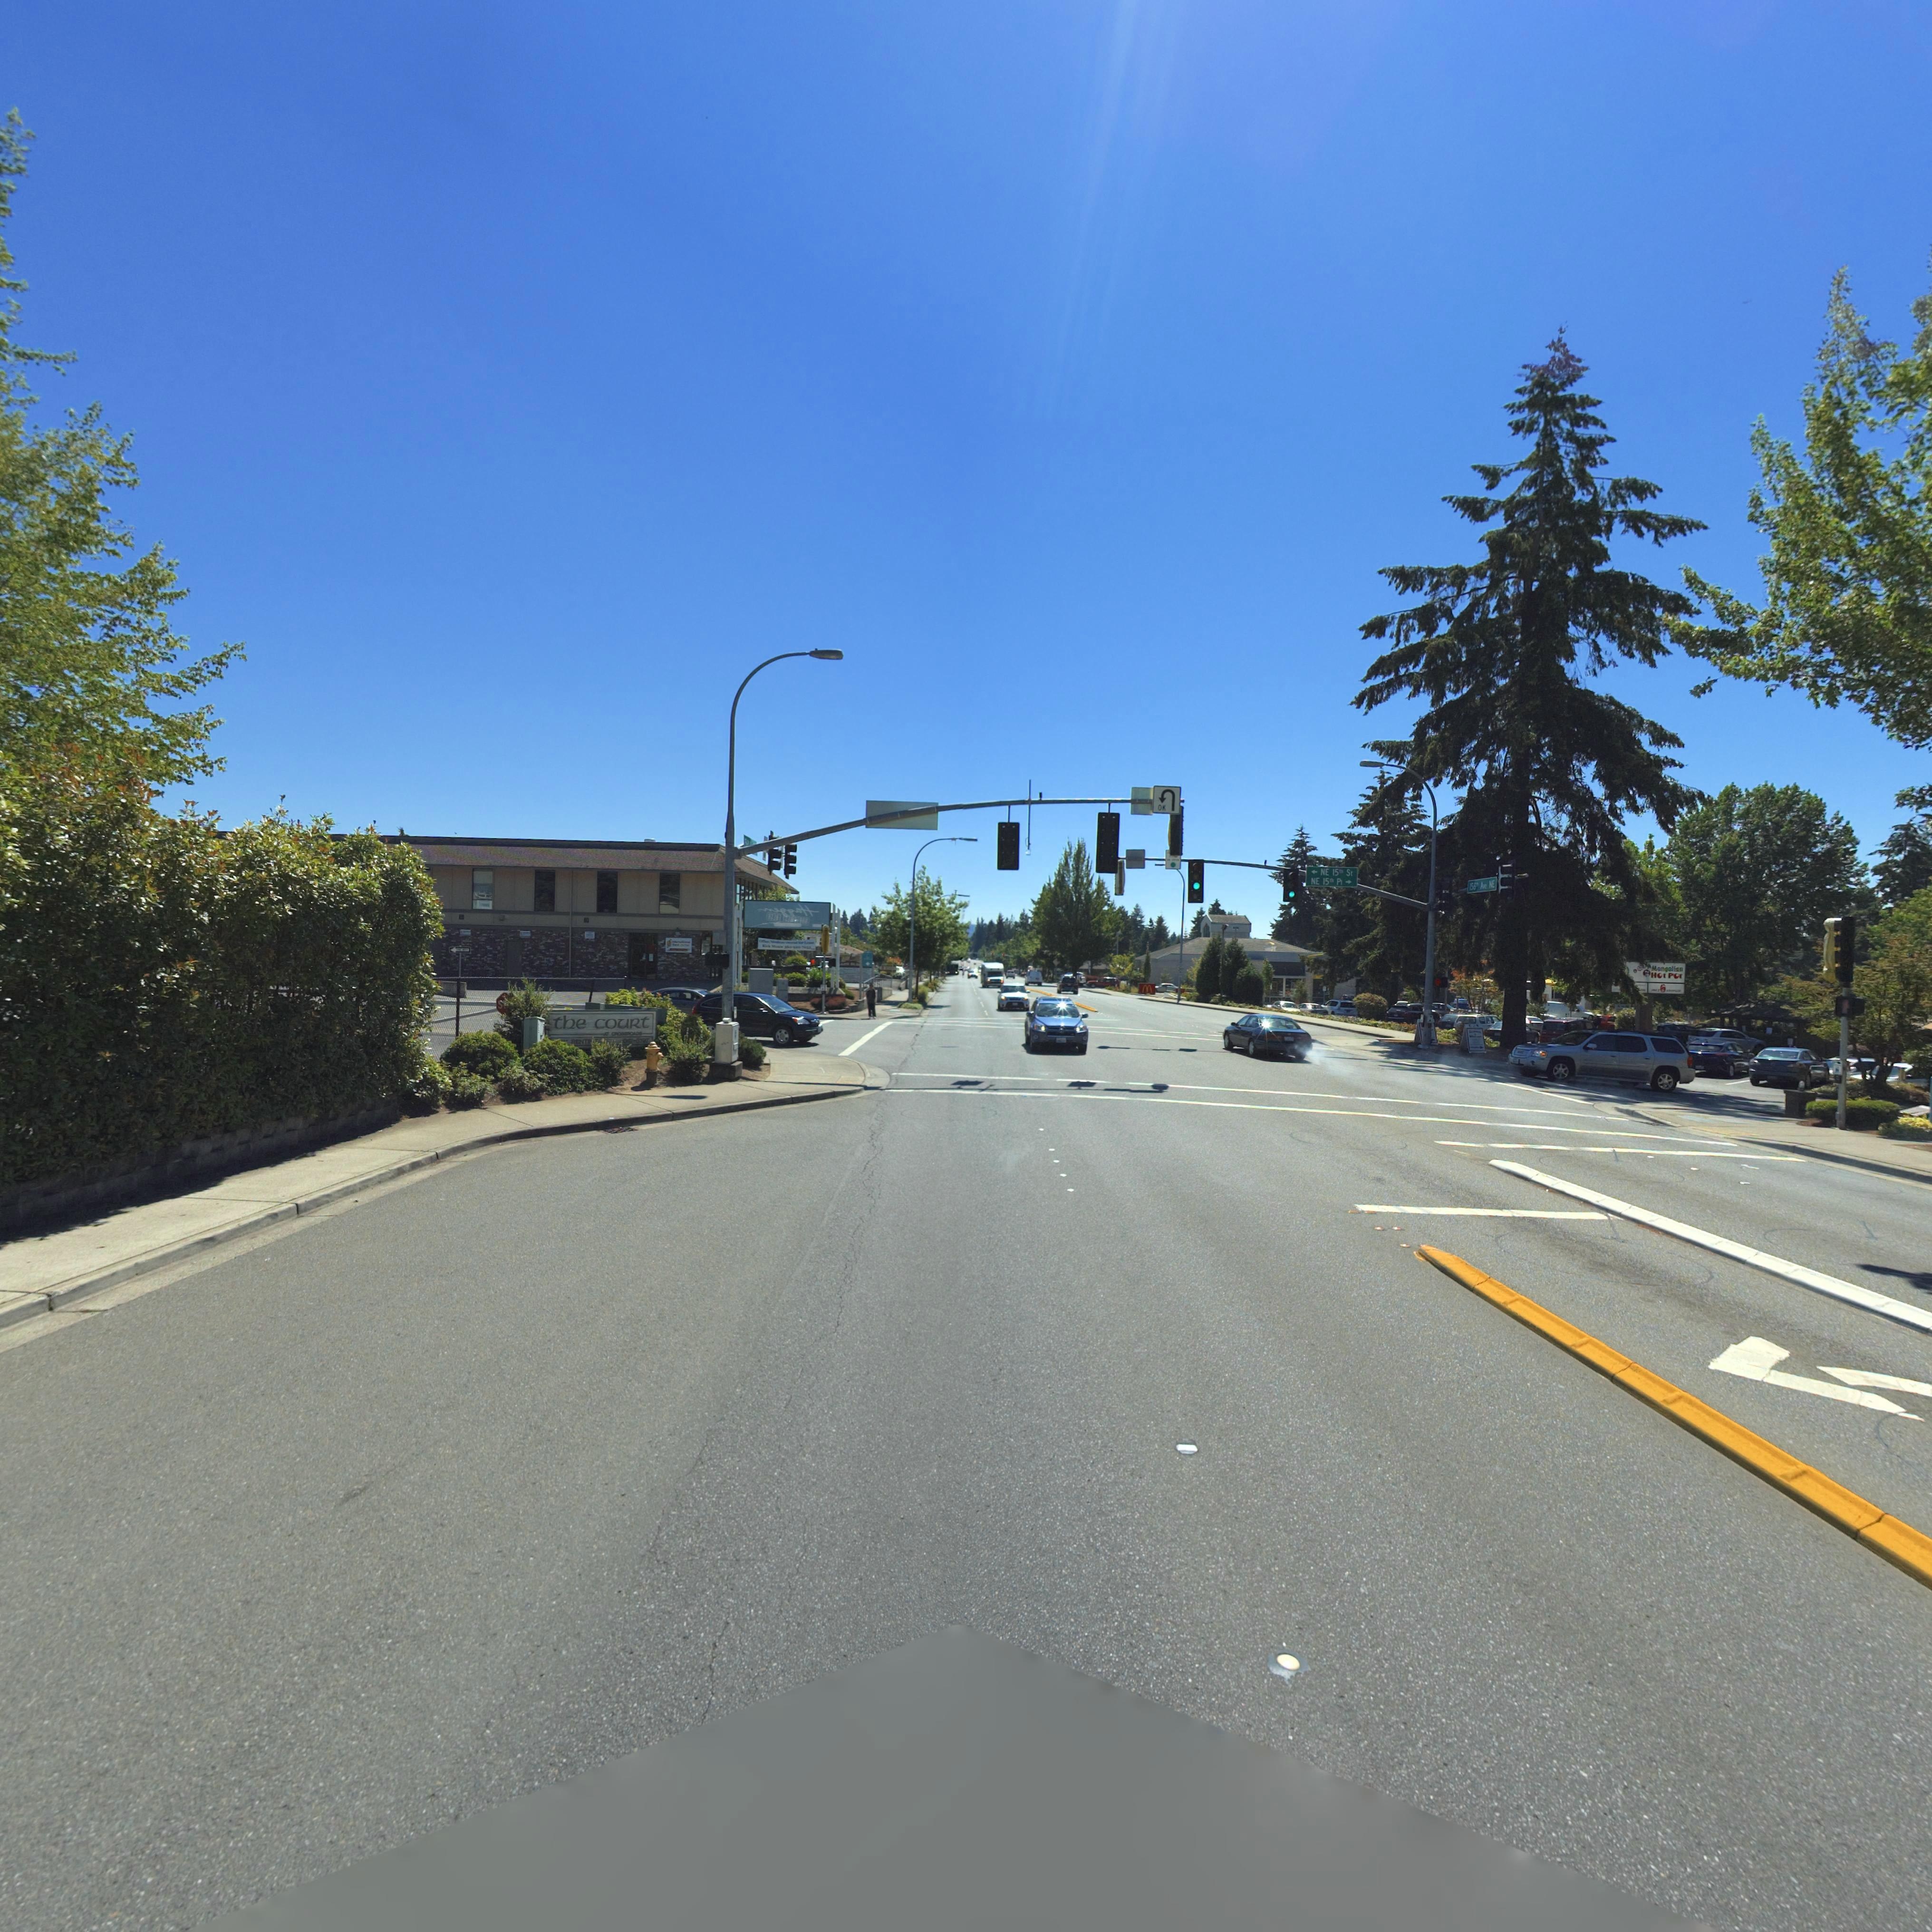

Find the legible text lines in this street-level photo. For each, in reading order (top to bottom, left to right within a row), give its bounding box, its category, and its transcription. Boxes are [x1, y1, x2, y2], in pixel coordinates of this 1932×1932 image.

[1310, 868, 1353, 877] StreetName: < - NE 15th St
[1310, 876, 1352, 885] StreetName: NE 15th Pl - >
[1468, 879, 1495, 891] StreetName: 156th Ave NE
[1651, 965, 1683, 972] BusinessName: Mongolian
[1651, 972, 1682, 979] BusinessName: HOT POT